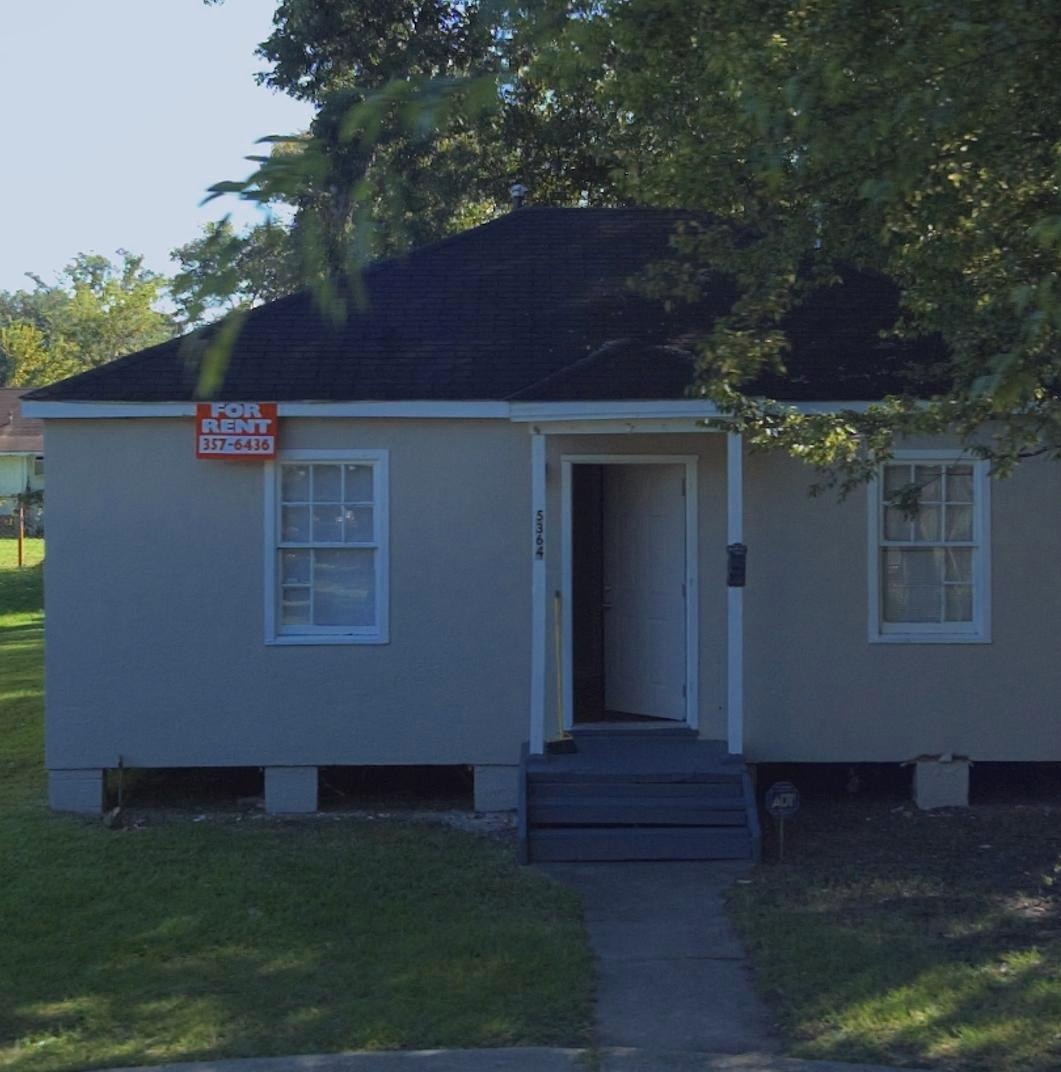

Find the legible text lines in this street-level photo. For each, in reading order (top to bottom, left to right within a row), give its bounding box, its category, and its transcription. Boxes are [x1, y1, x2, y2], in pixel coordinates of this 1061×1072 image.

[210, 401, 262, 418] None: FOR
[201, 417, 273, 434] None: RENT
[201, 437, 271, 451] None: 357-6436
[535, 508, 545, 561] StreetNumber: 5364
[768, 792, 798, 809] None: ADT